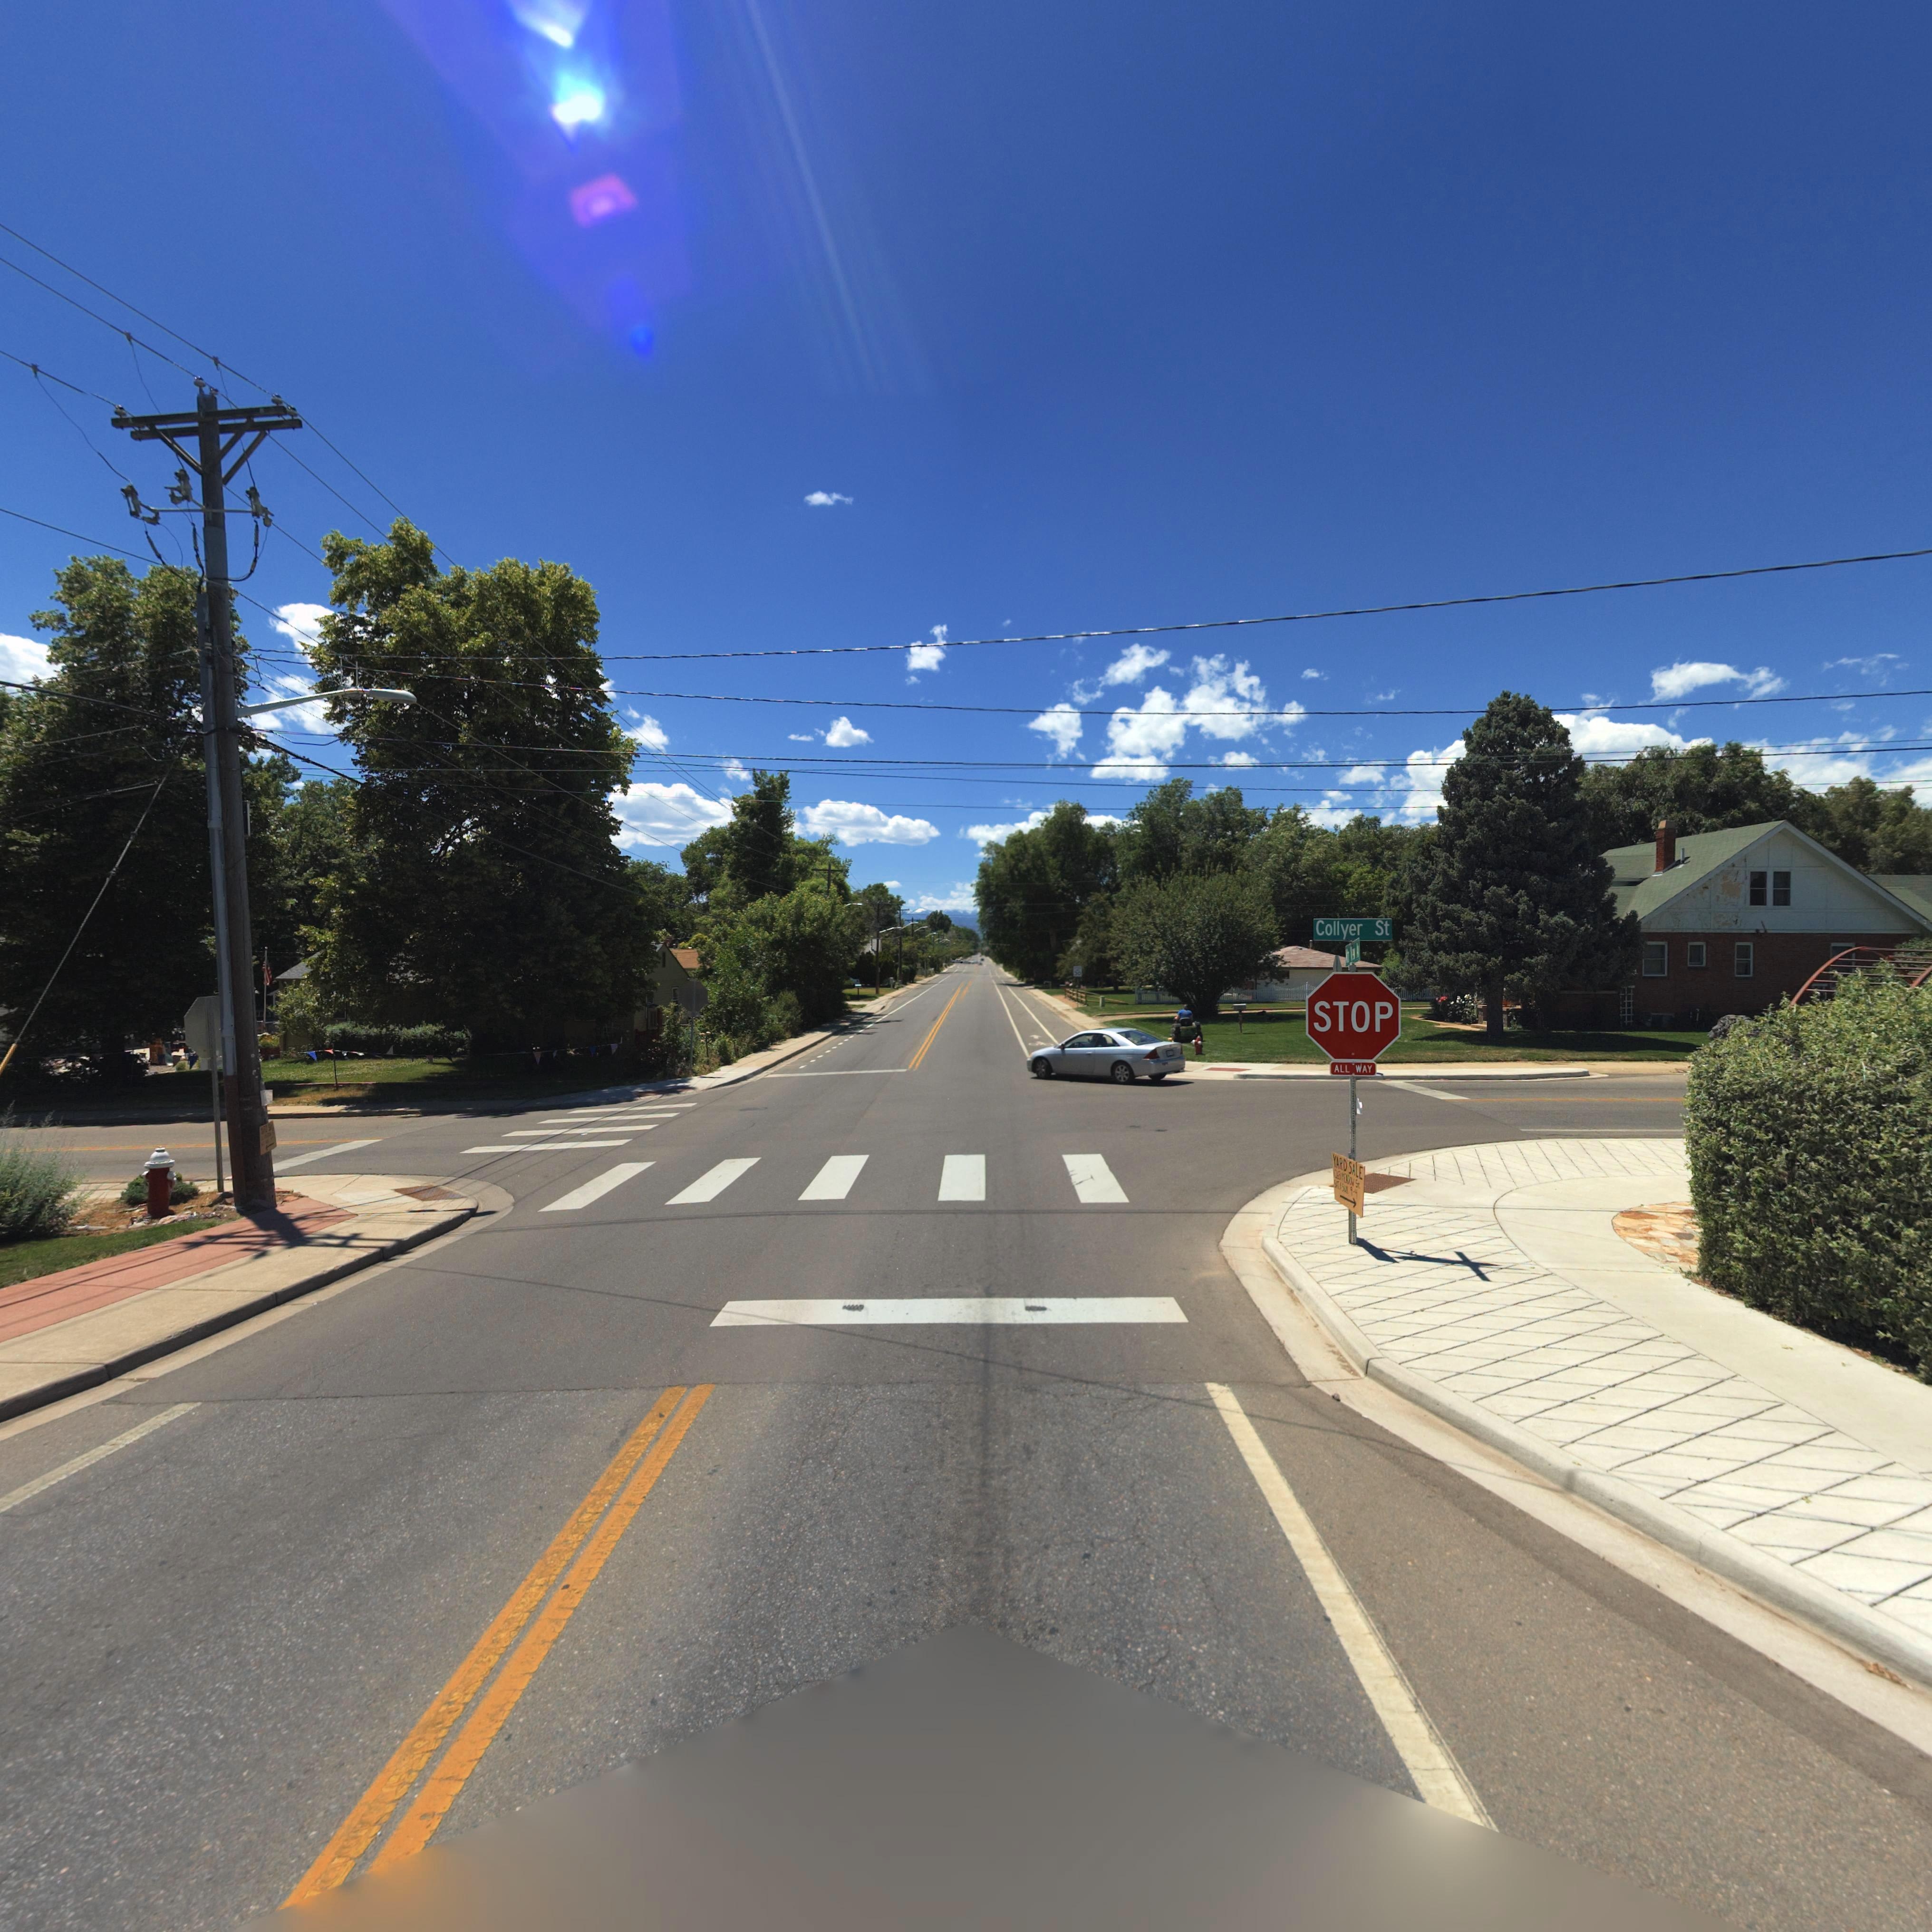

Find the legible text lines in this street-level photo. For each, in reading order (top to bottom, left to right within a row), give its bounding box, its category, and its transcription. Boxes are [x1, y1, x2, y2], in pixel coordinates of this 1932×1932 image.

[1315, 919, 1390, 939] StreetName: Collyer St